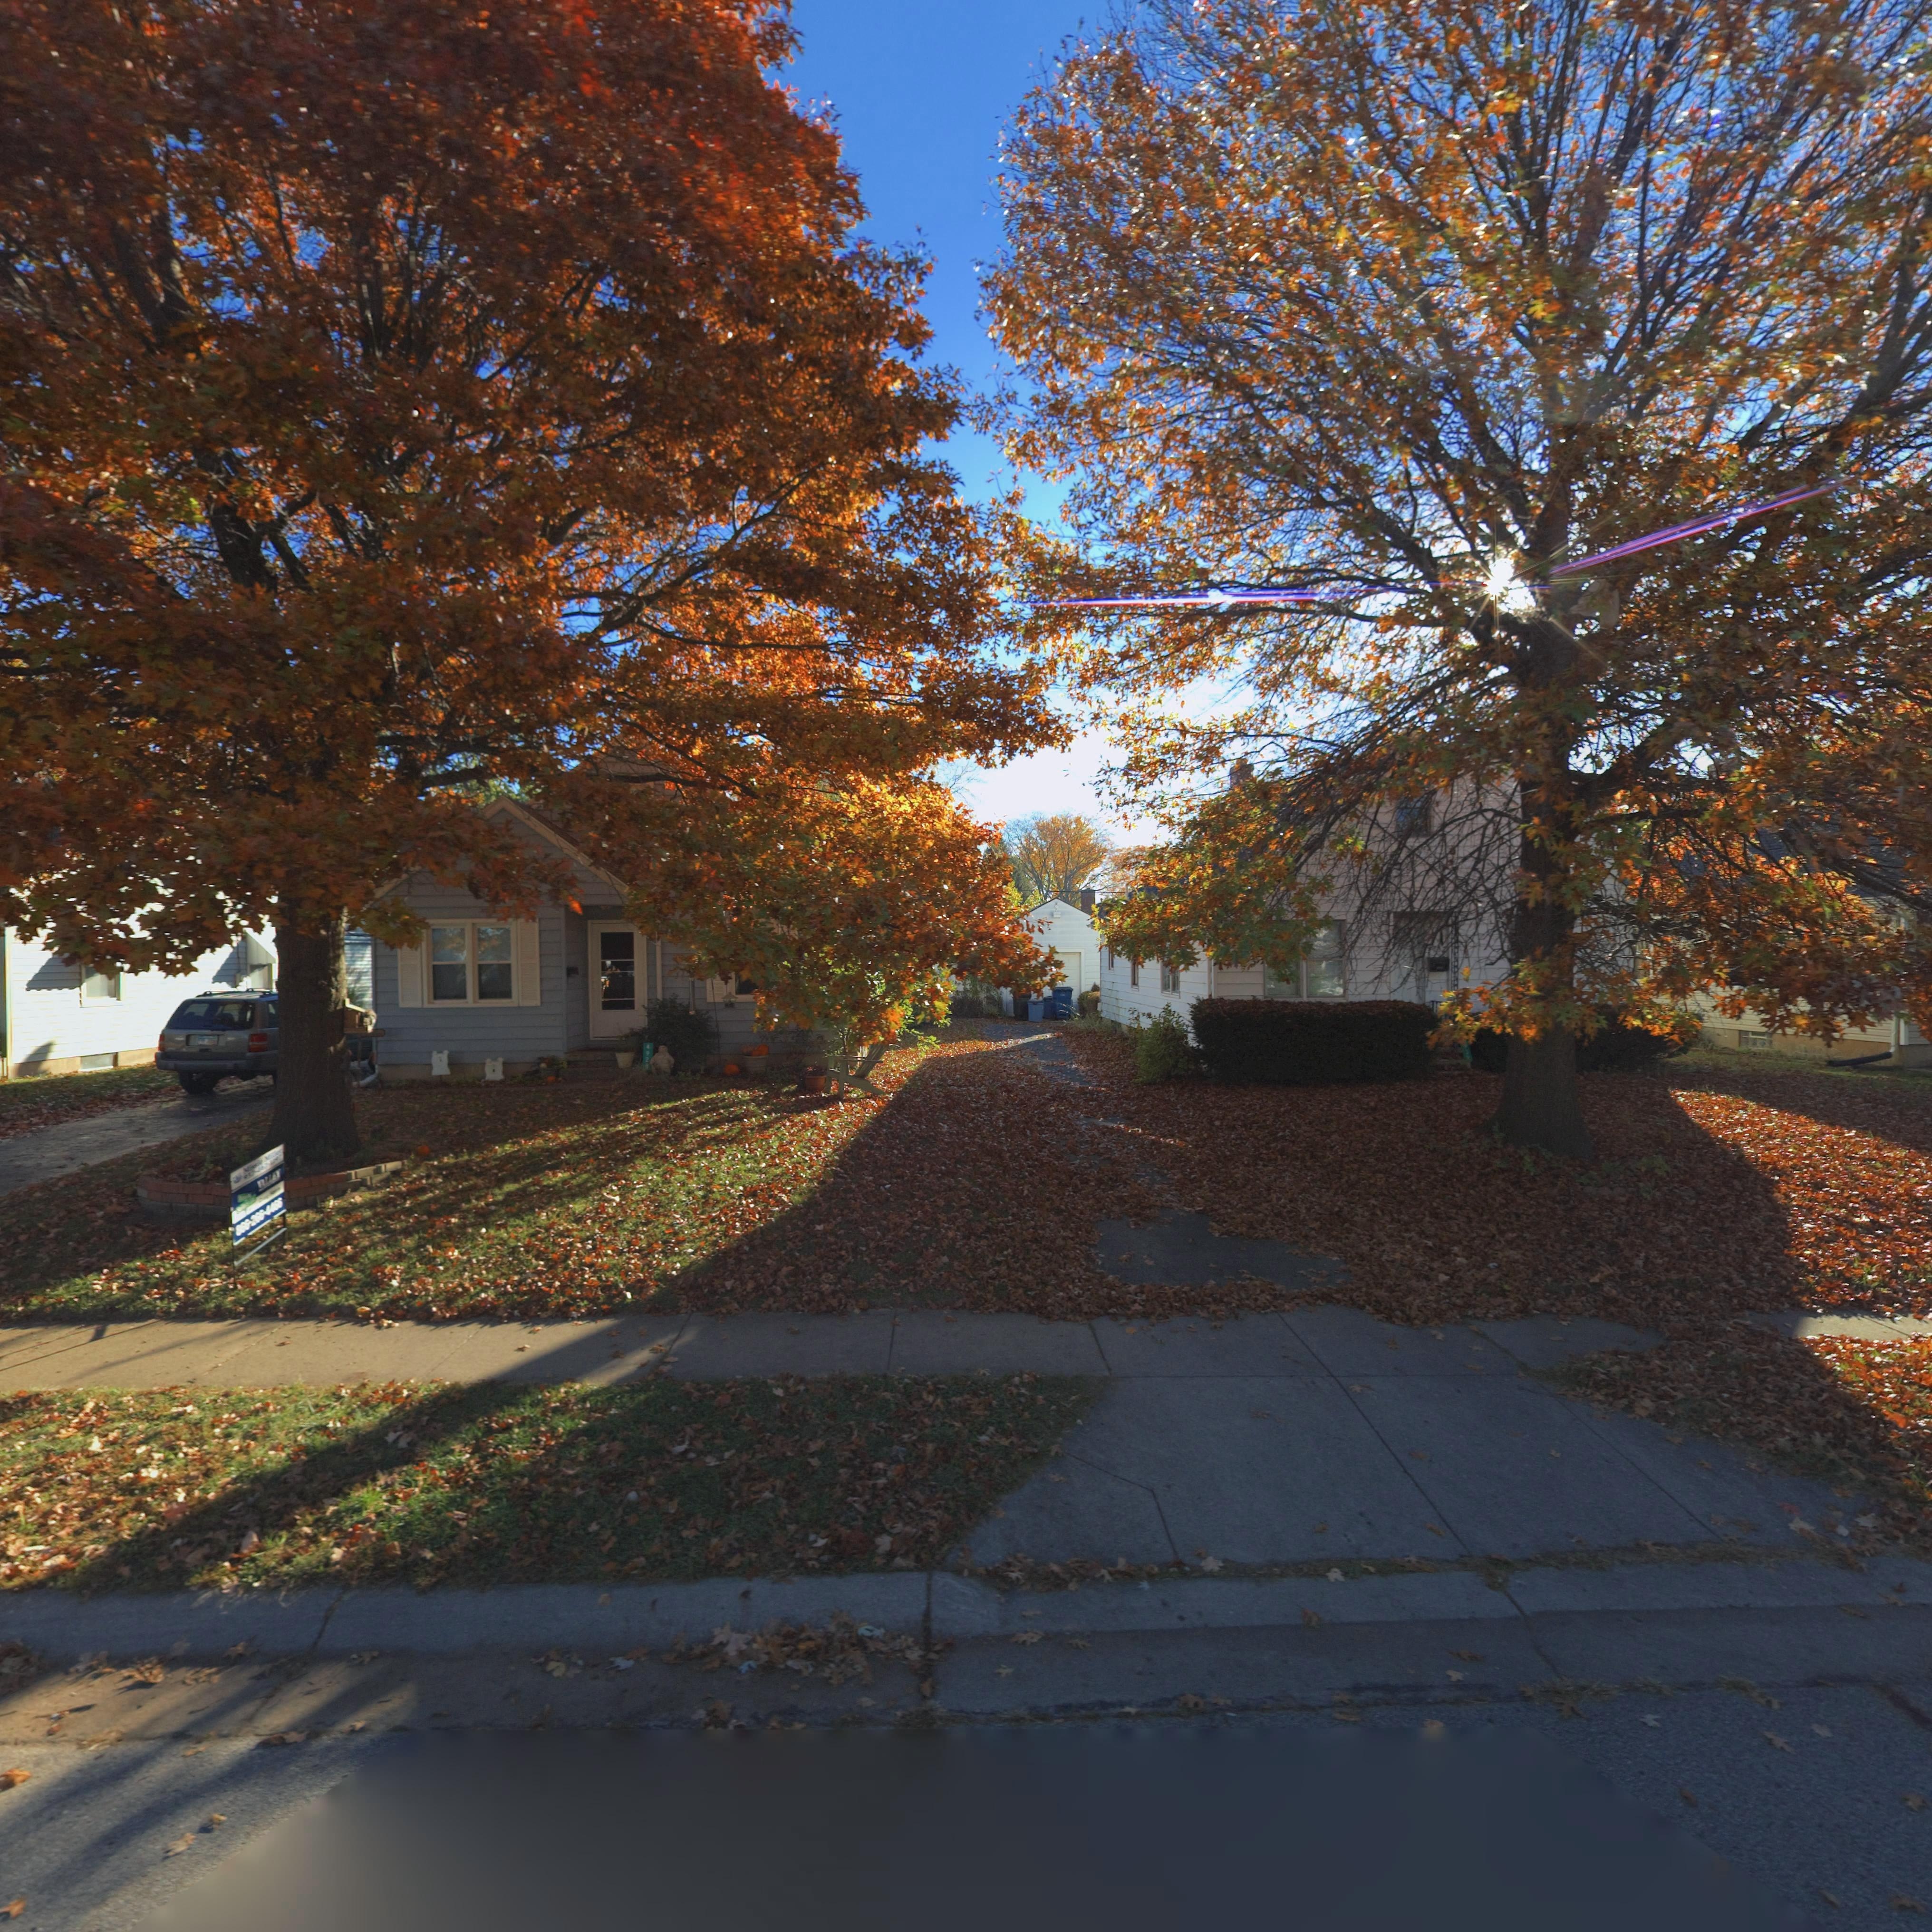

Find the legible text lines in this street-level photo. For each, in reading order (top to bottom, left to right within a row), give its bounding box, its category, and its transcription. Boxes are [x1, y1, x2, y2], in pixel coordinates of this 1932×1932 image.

[645, 1044, 650, 1069] StreetNumber: 4928